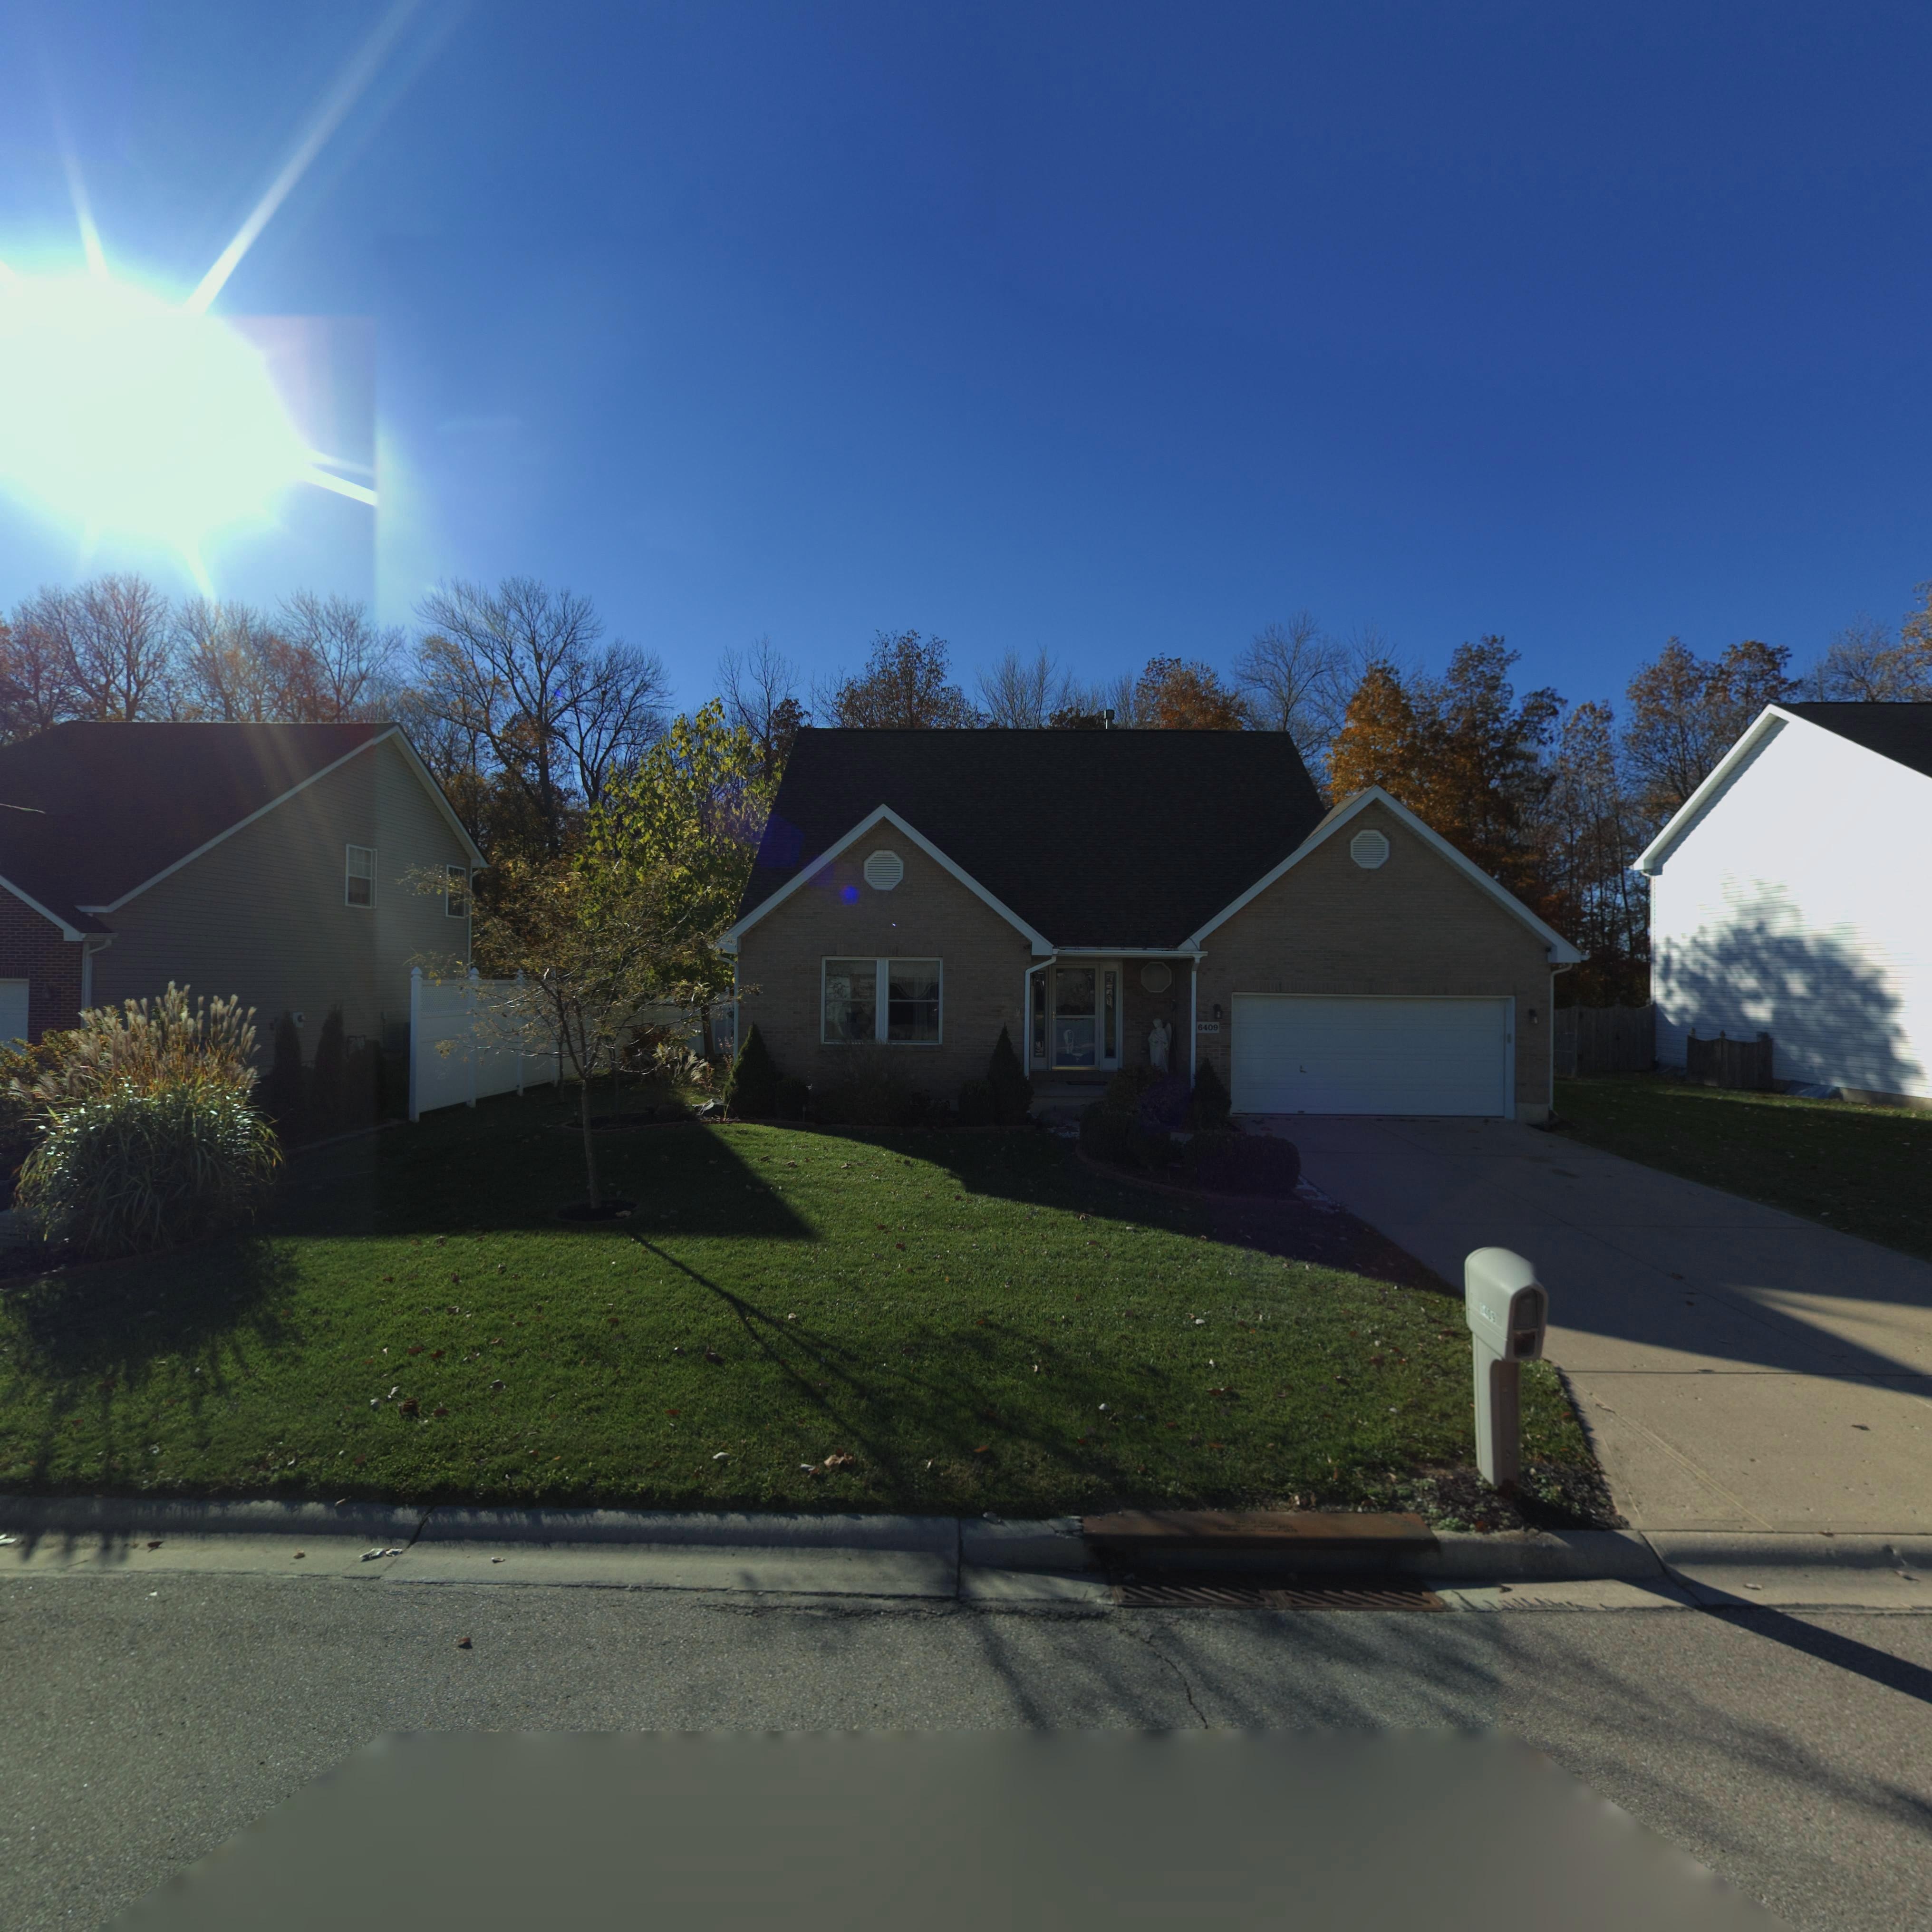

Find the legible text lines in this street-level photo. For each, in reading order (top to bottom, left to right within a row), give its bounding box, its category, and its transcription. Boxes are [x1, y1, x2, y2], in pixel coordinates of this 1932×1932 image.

[1197, 1023, 1219, 1032] StreetNumber: 6409
[1479, 1302, 1497, 1324] StreetNumber: **09